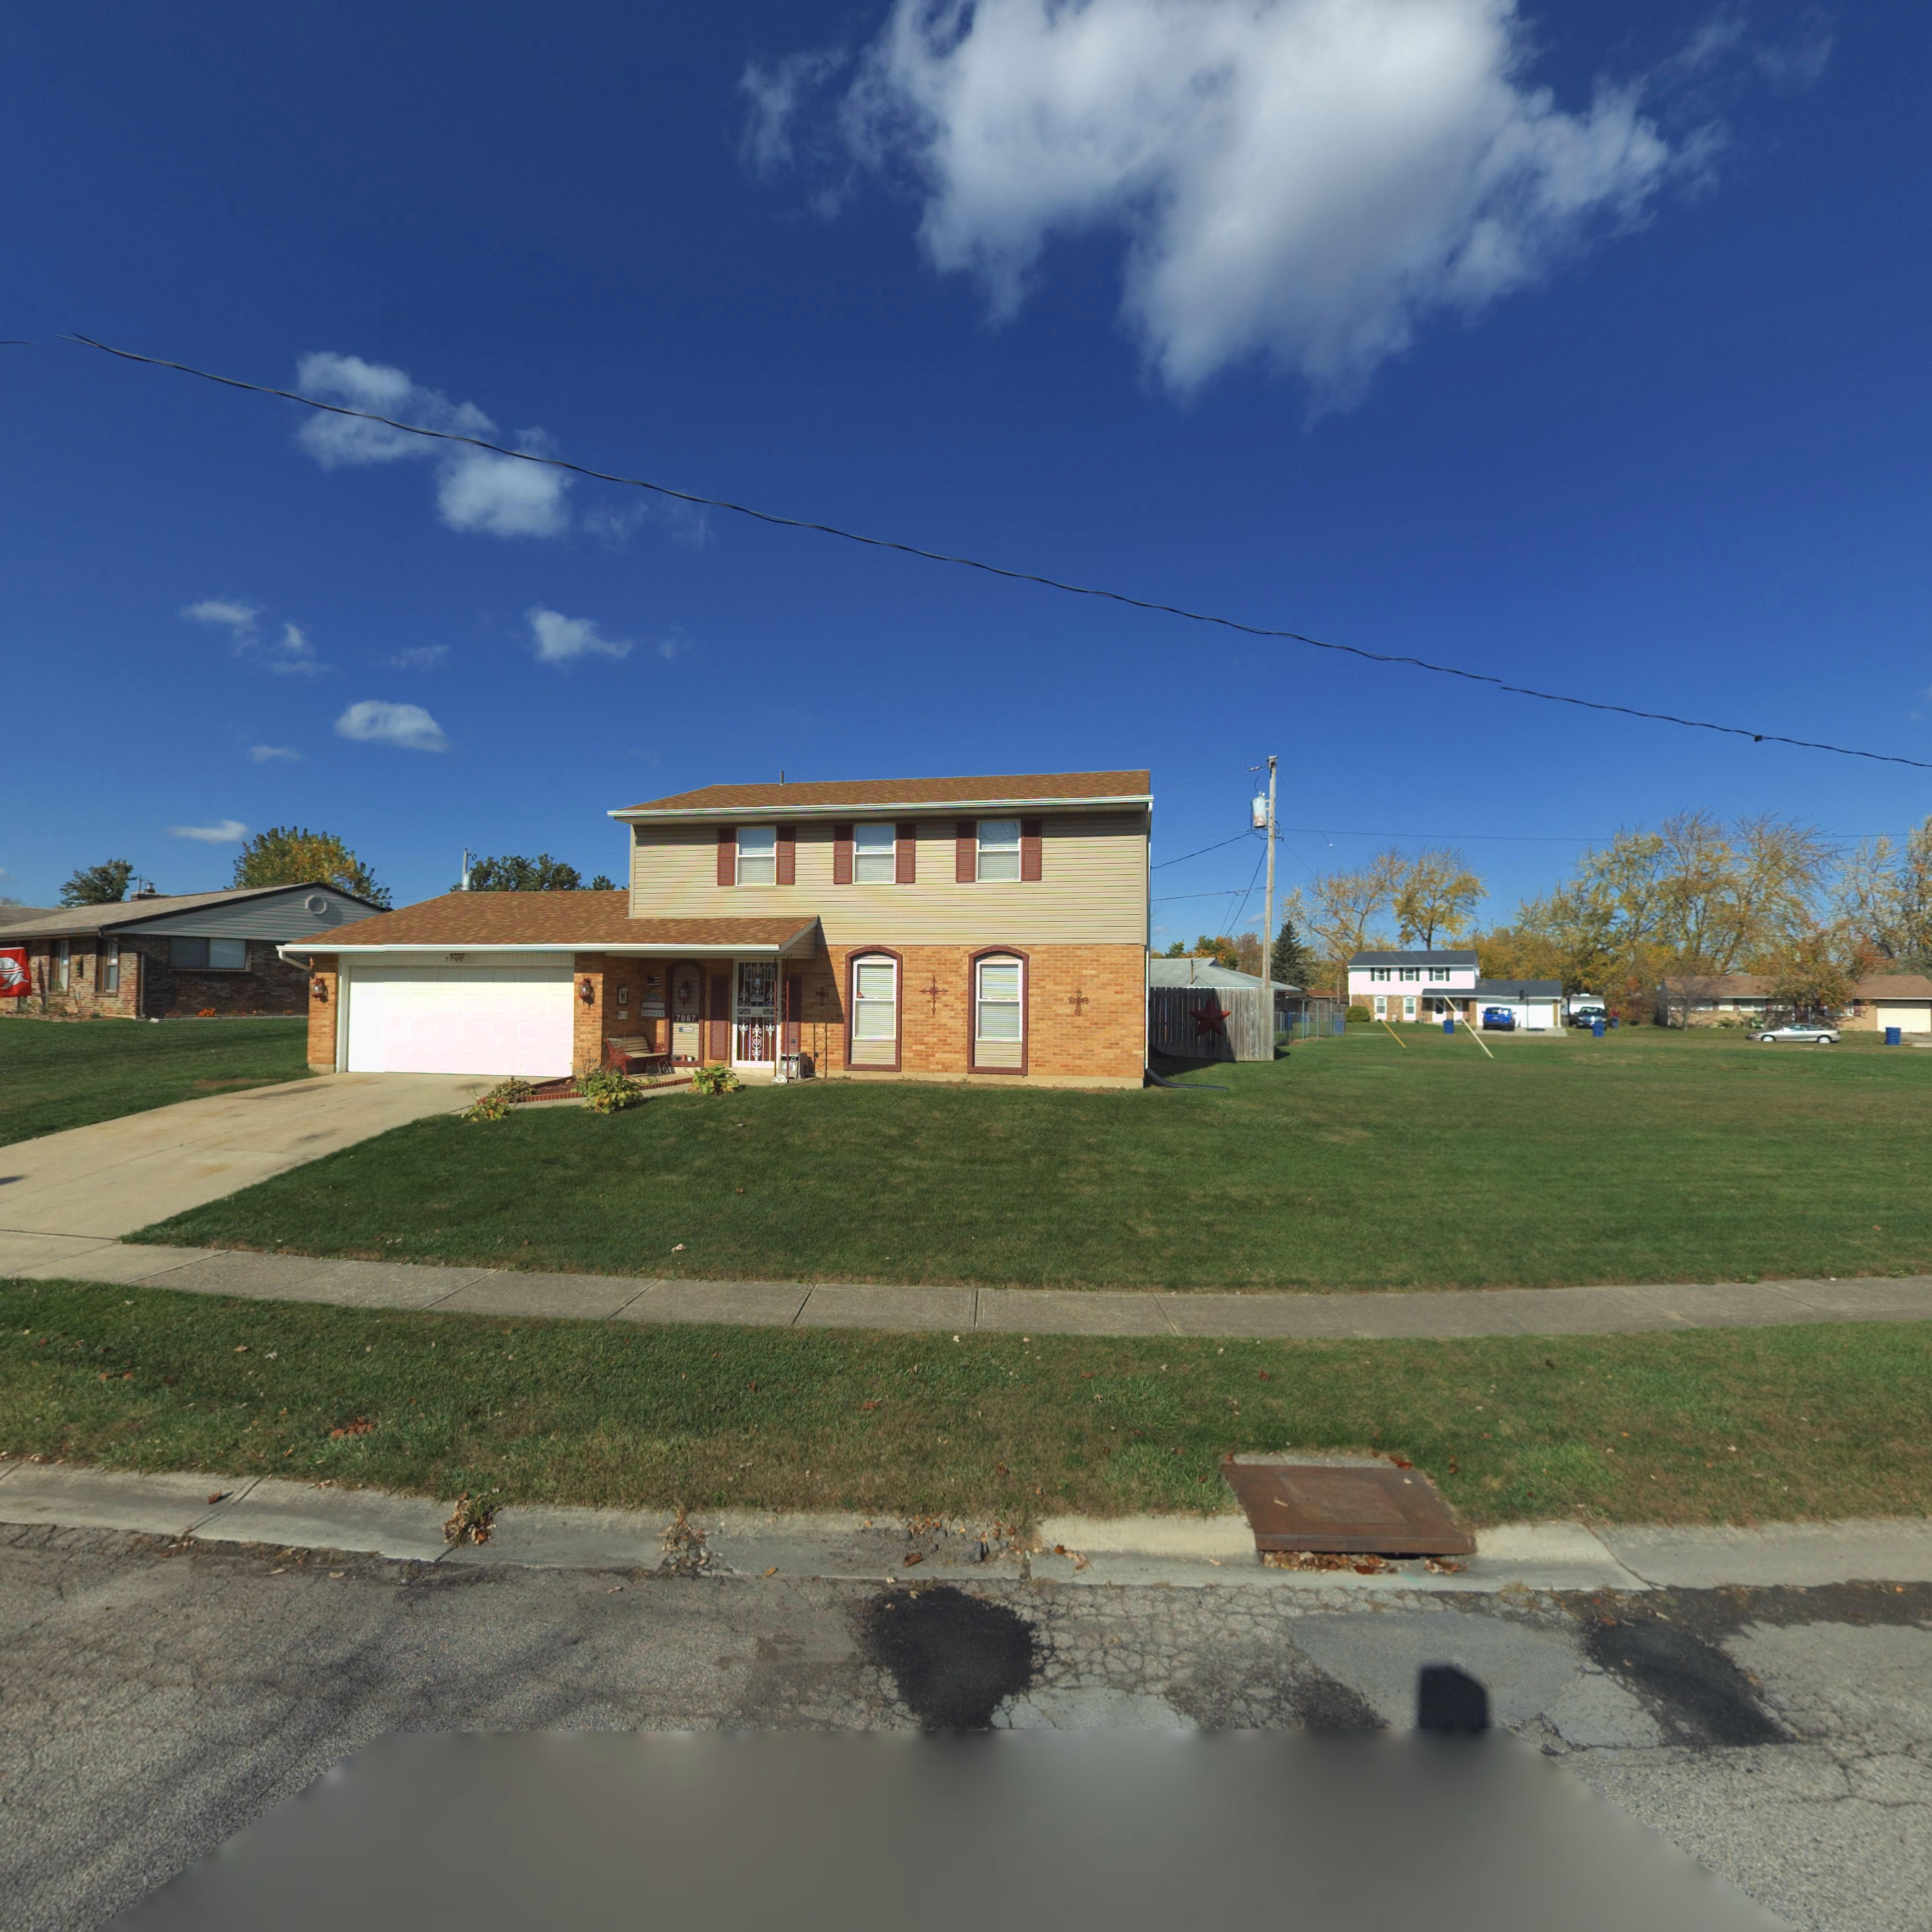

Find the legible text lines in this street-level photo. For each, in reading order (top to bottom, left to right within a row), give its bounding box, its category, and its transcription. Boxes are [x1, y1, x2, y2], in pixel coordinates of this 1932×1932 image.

[675, 1014, 697, 1023] StreetNumber: 7067